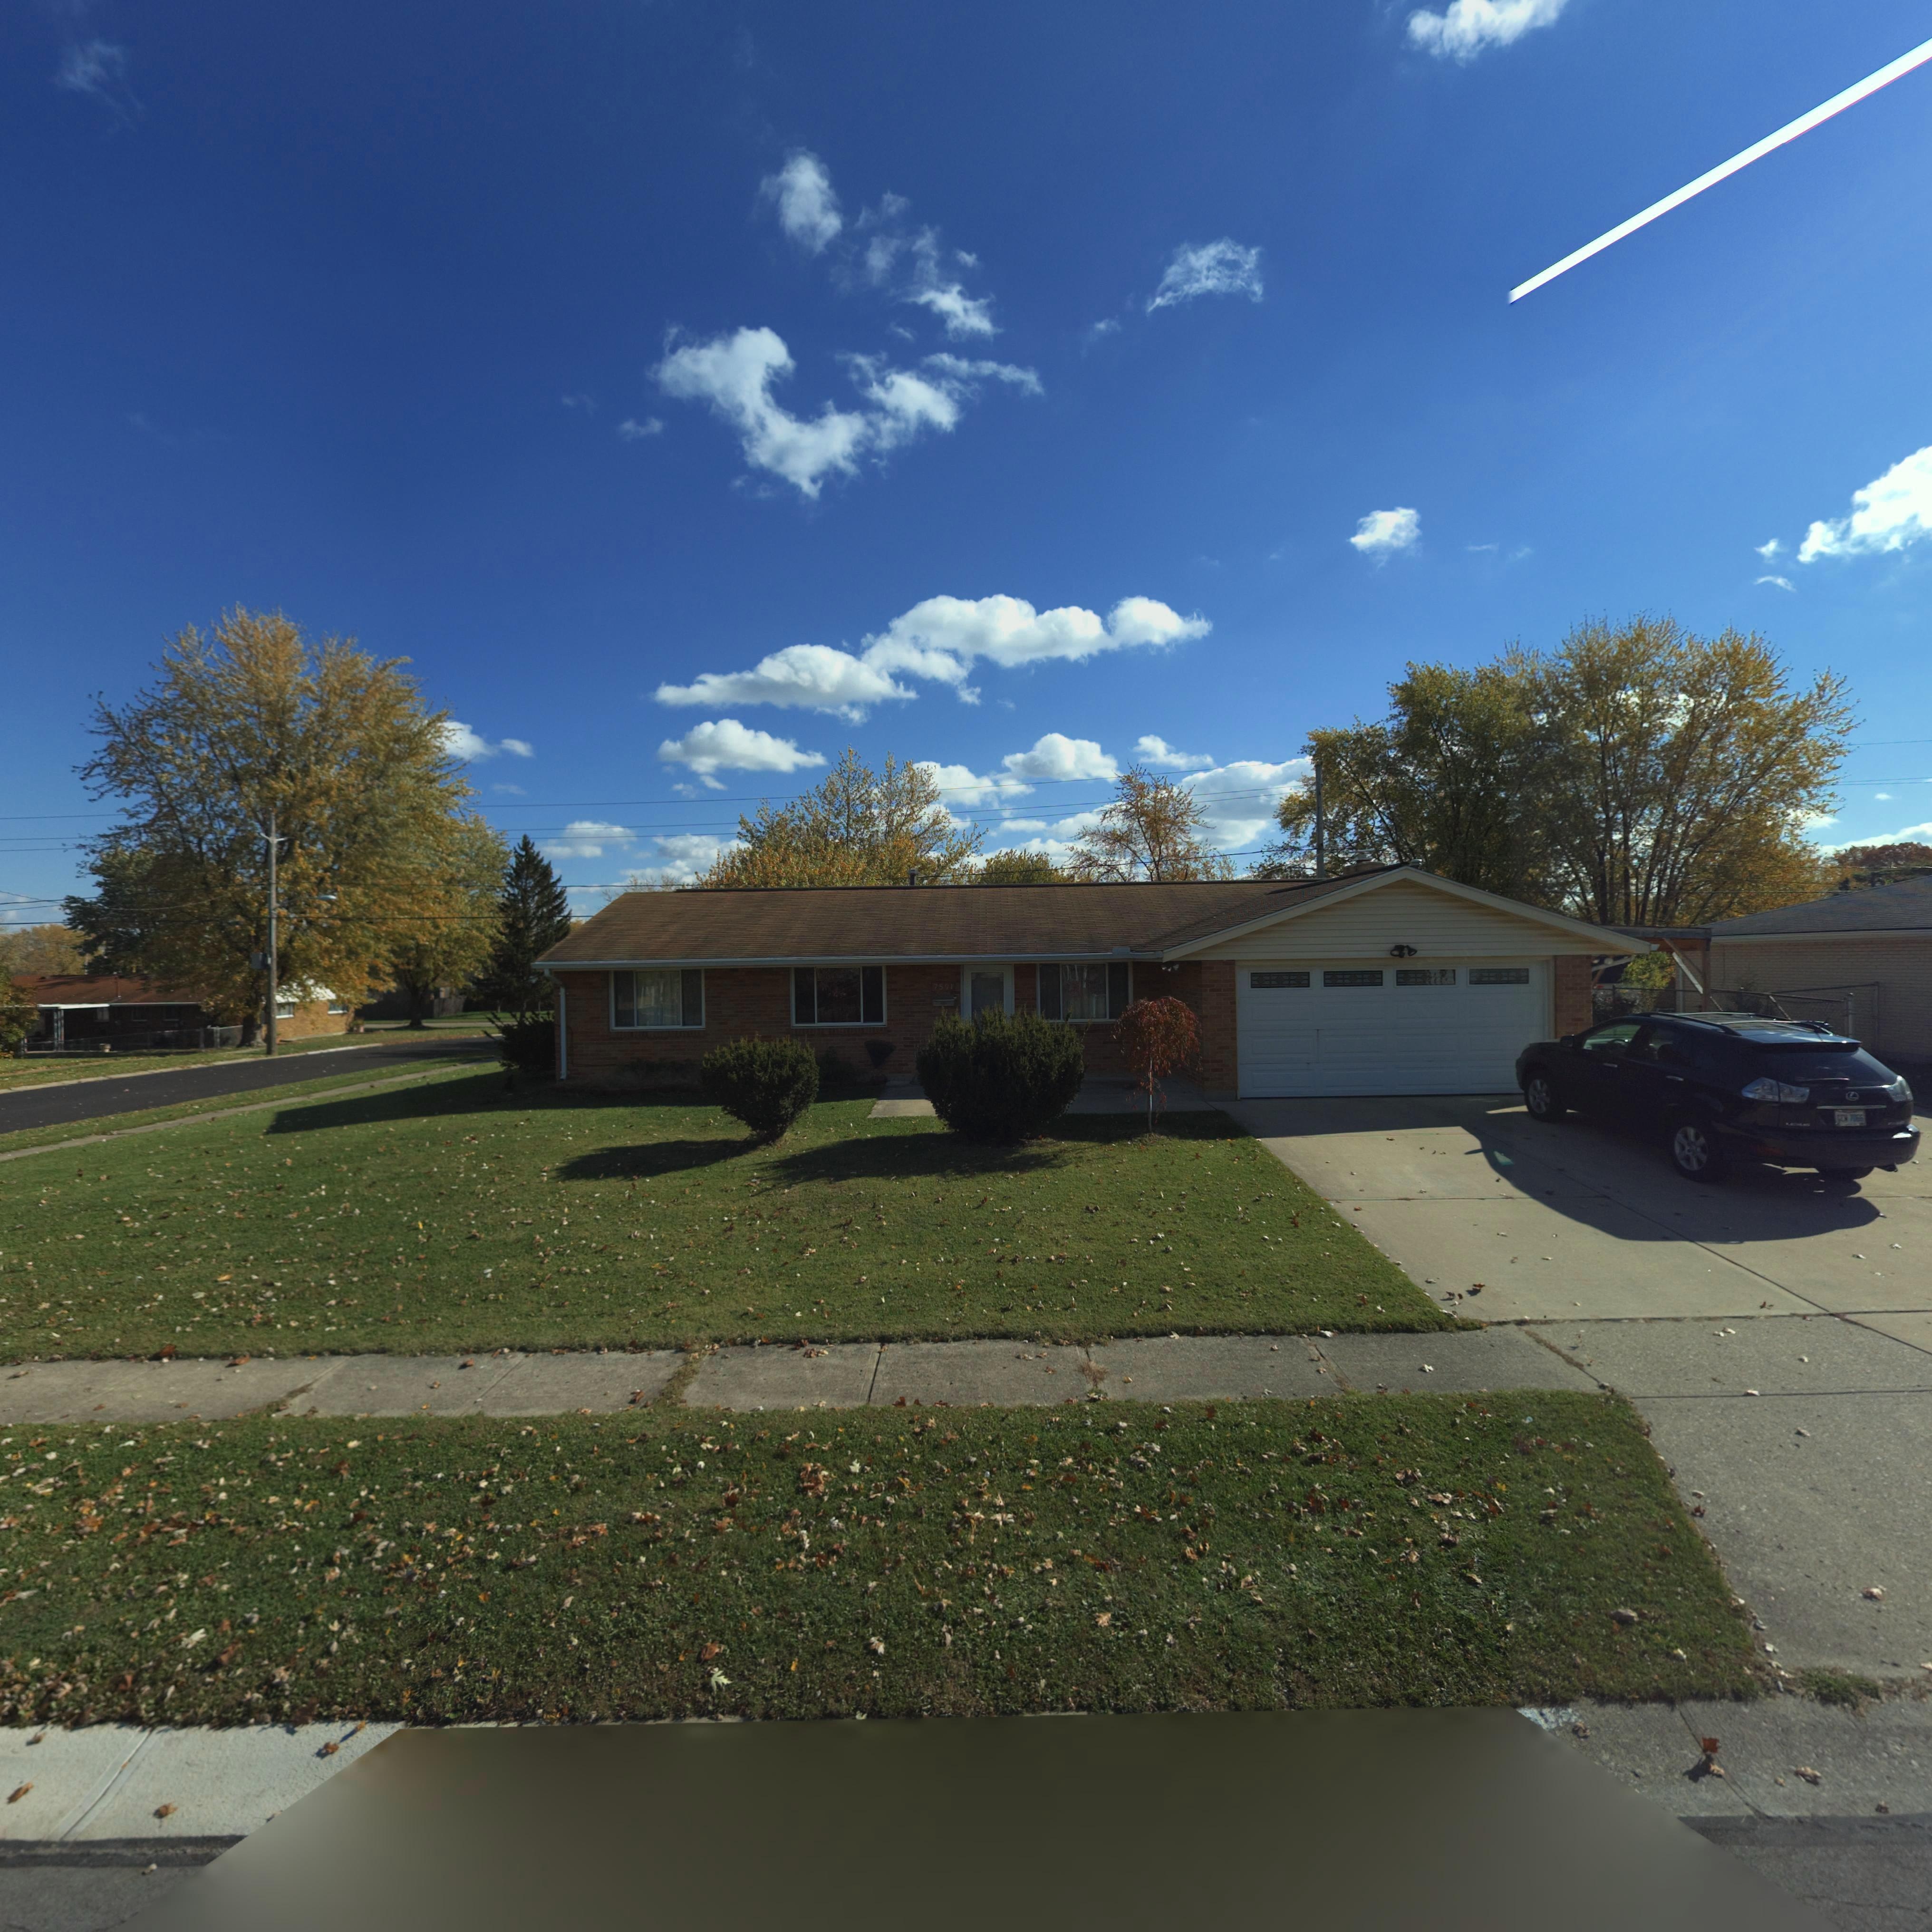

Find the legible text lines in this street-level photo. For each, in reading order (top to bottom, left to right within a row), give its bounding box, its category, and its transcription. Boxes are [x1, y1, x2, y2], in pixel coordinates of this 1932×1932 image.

[933, 982, 954, 991] StreetNumber: 7591